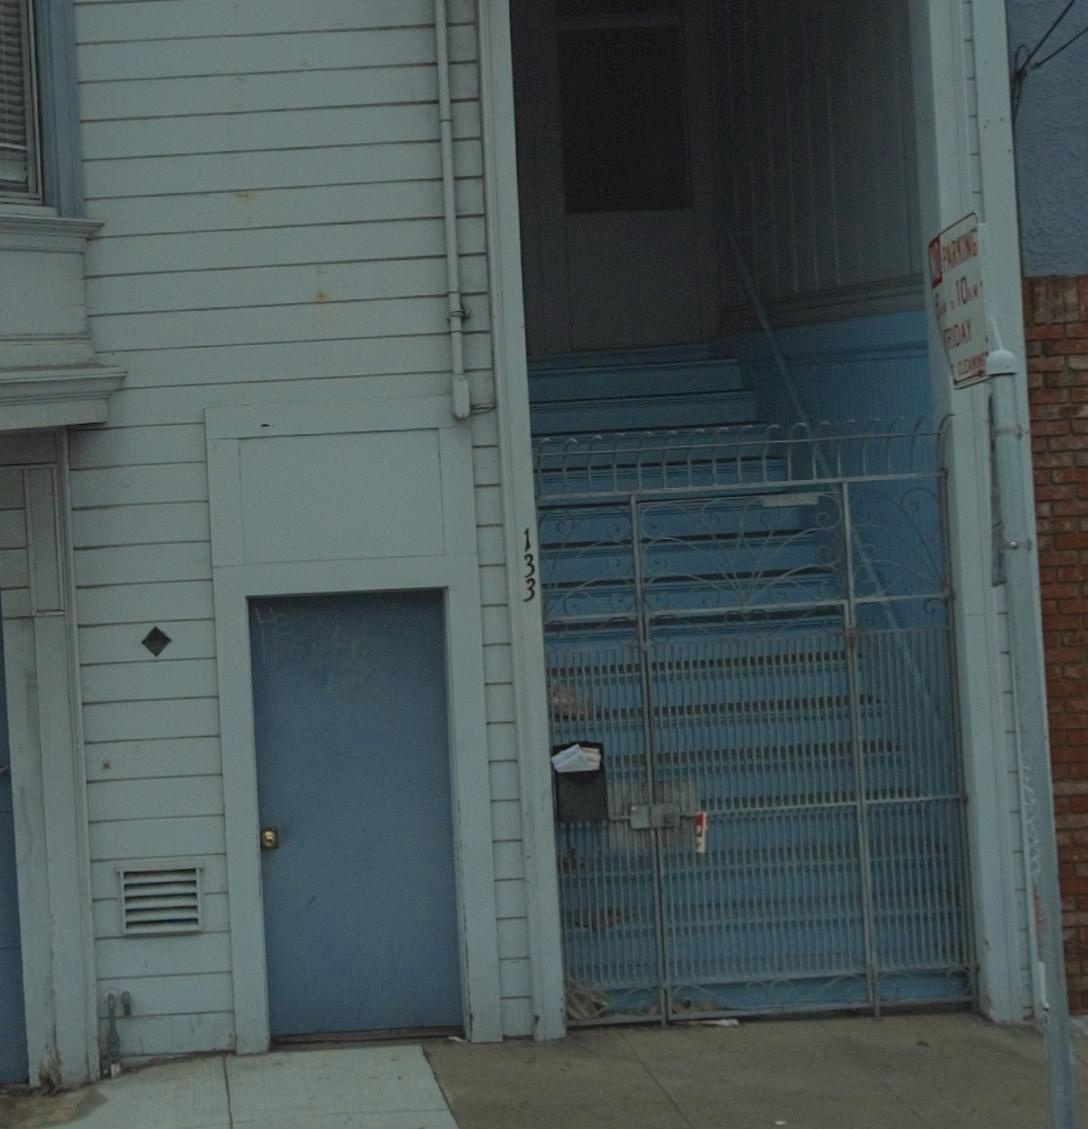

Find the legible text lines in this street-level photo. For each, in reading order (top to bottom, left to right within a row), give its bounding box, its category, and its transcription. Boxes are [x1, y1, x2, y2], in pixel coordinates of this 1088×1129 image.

[926, 223, 980, 285] None: NO PARKING
[953, 274, 970, 309] None: 10
[968, 282, 981, 303] None: A.M.
[940, 316, 974, 355] None: *R*DAY
[956, 348, 988, 377] None: CLEANIN*
[522, 527, 538, 605] StreetNumber: 133